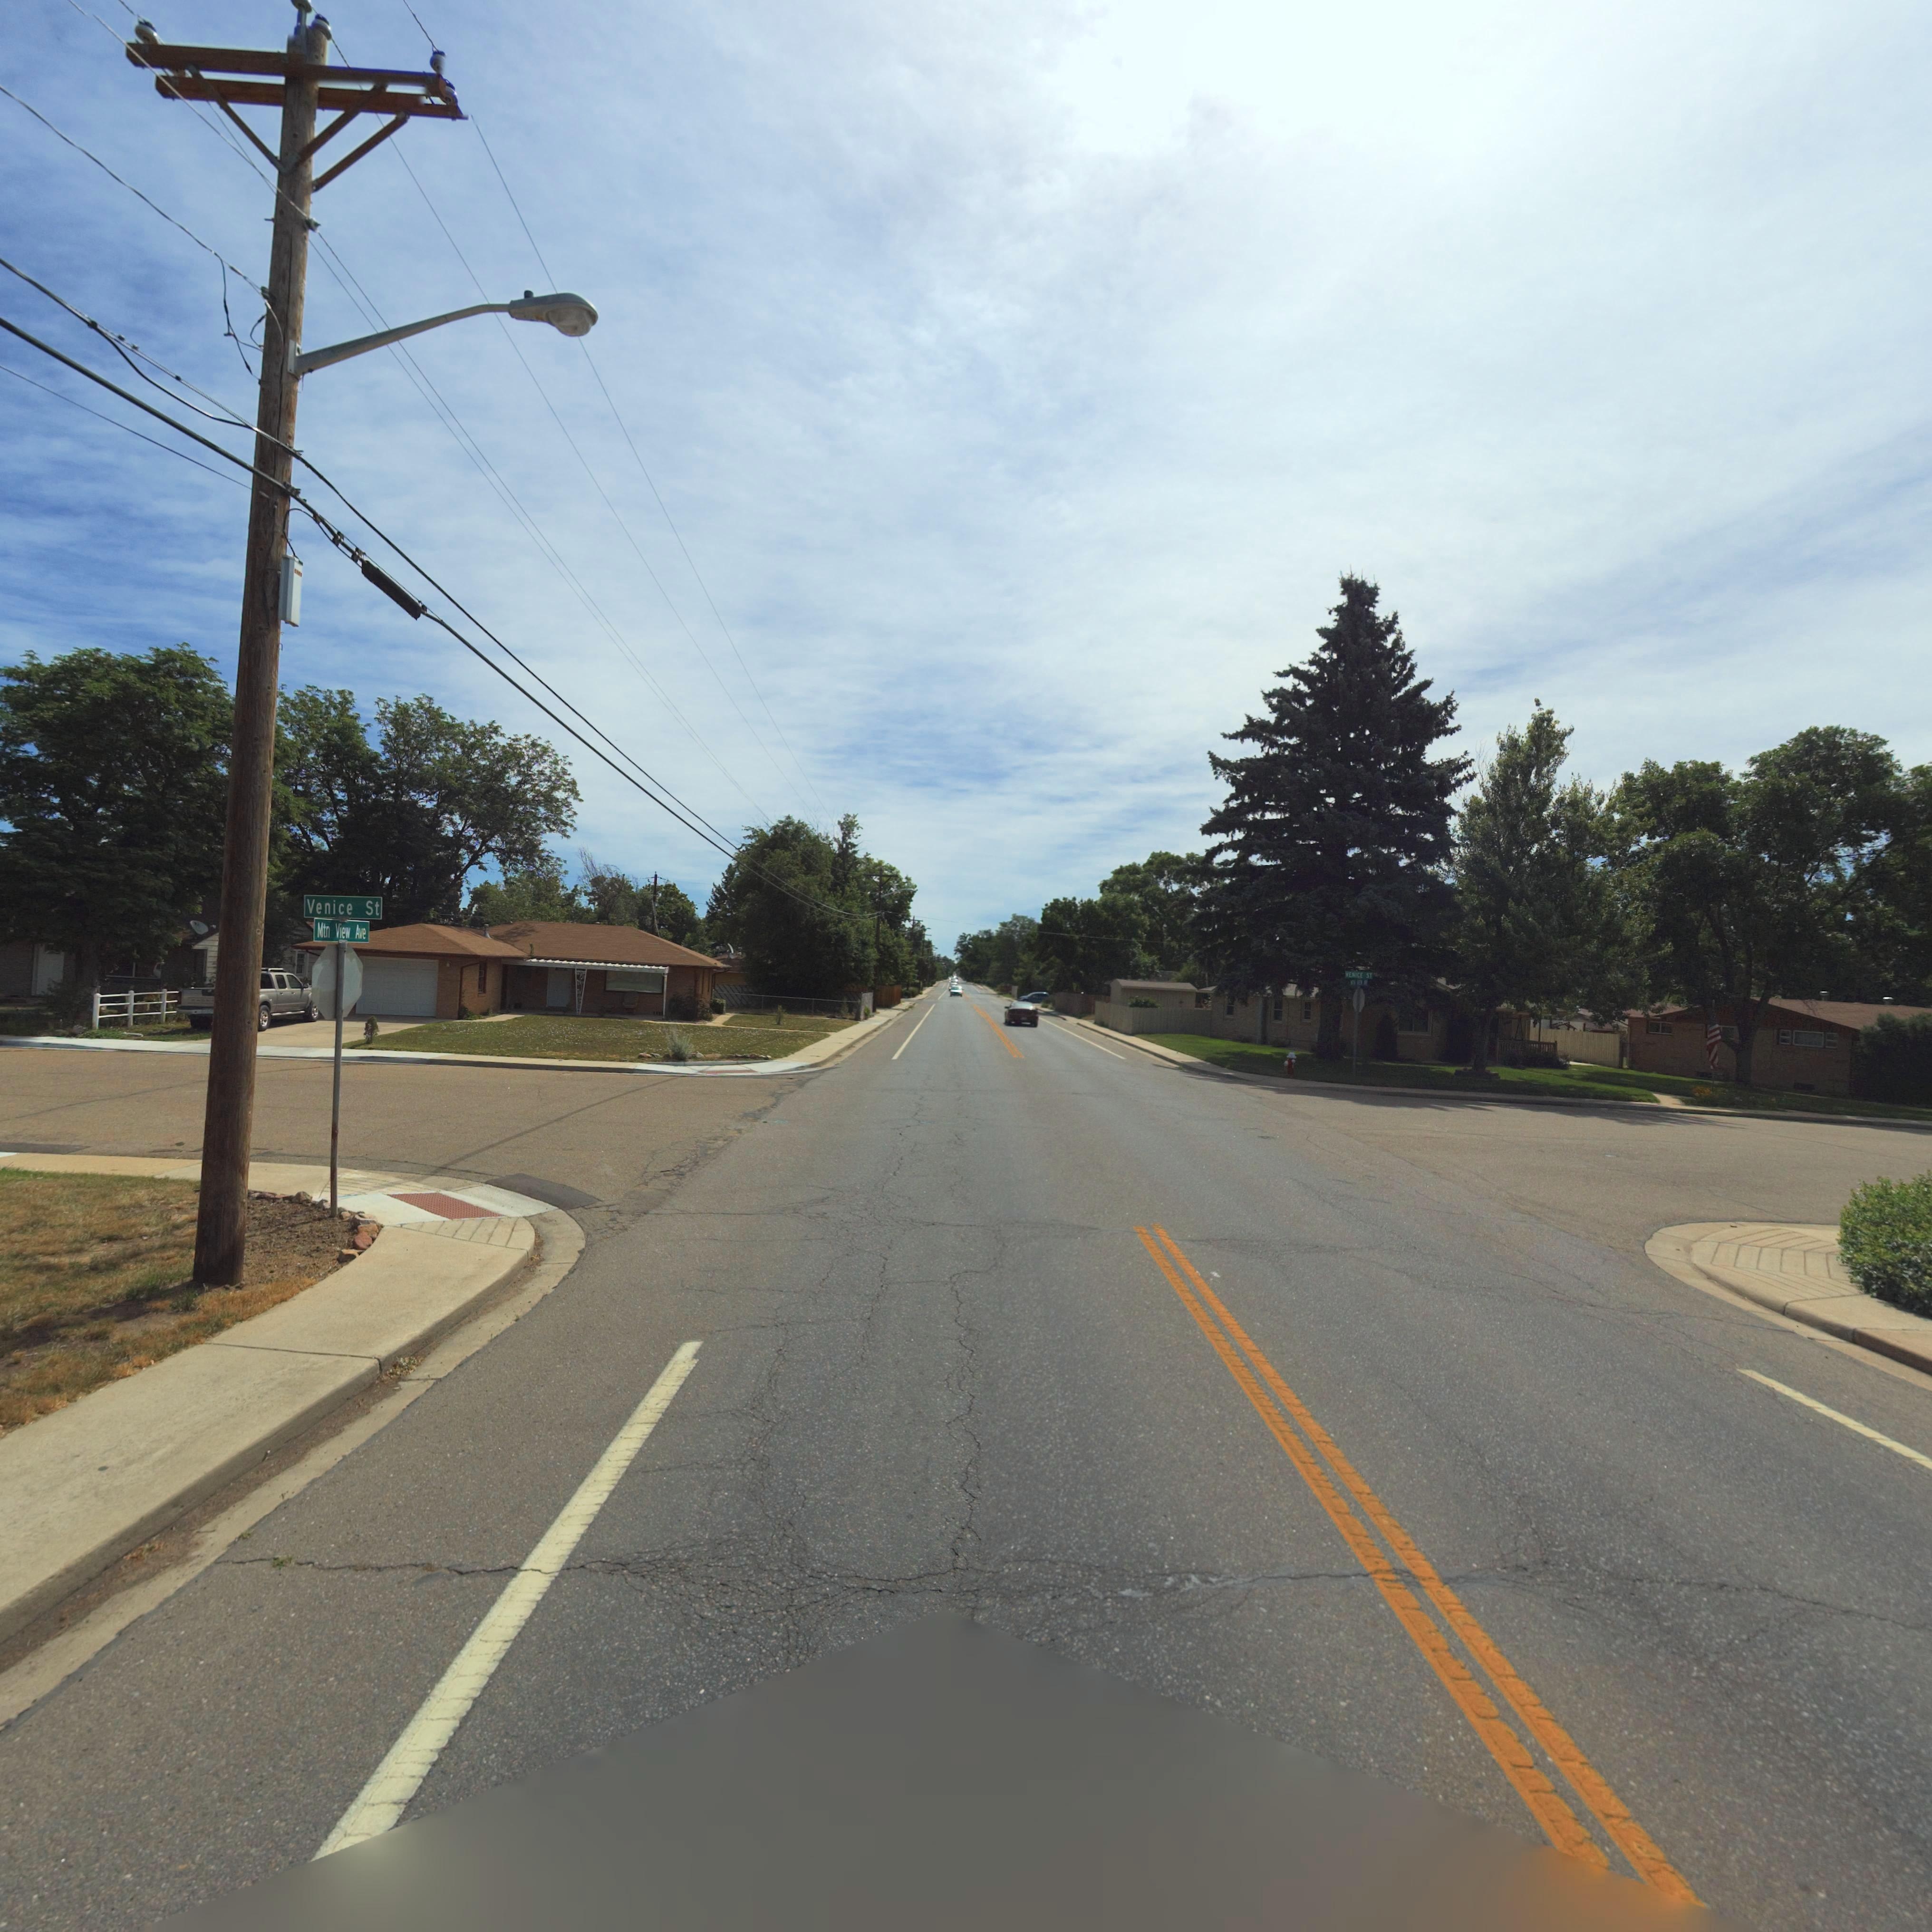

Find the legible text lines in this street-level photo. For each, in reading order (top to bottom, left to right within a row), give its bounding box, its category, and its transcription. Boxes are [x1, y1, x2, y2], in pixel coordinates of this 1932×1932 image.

[306, 898, 379, 916] StreetName: Venice St
[316, 921, 367, 939] StreetName: Mtn View Ave
[1345, 972, 1372, 978] StreetName: VENICE ST